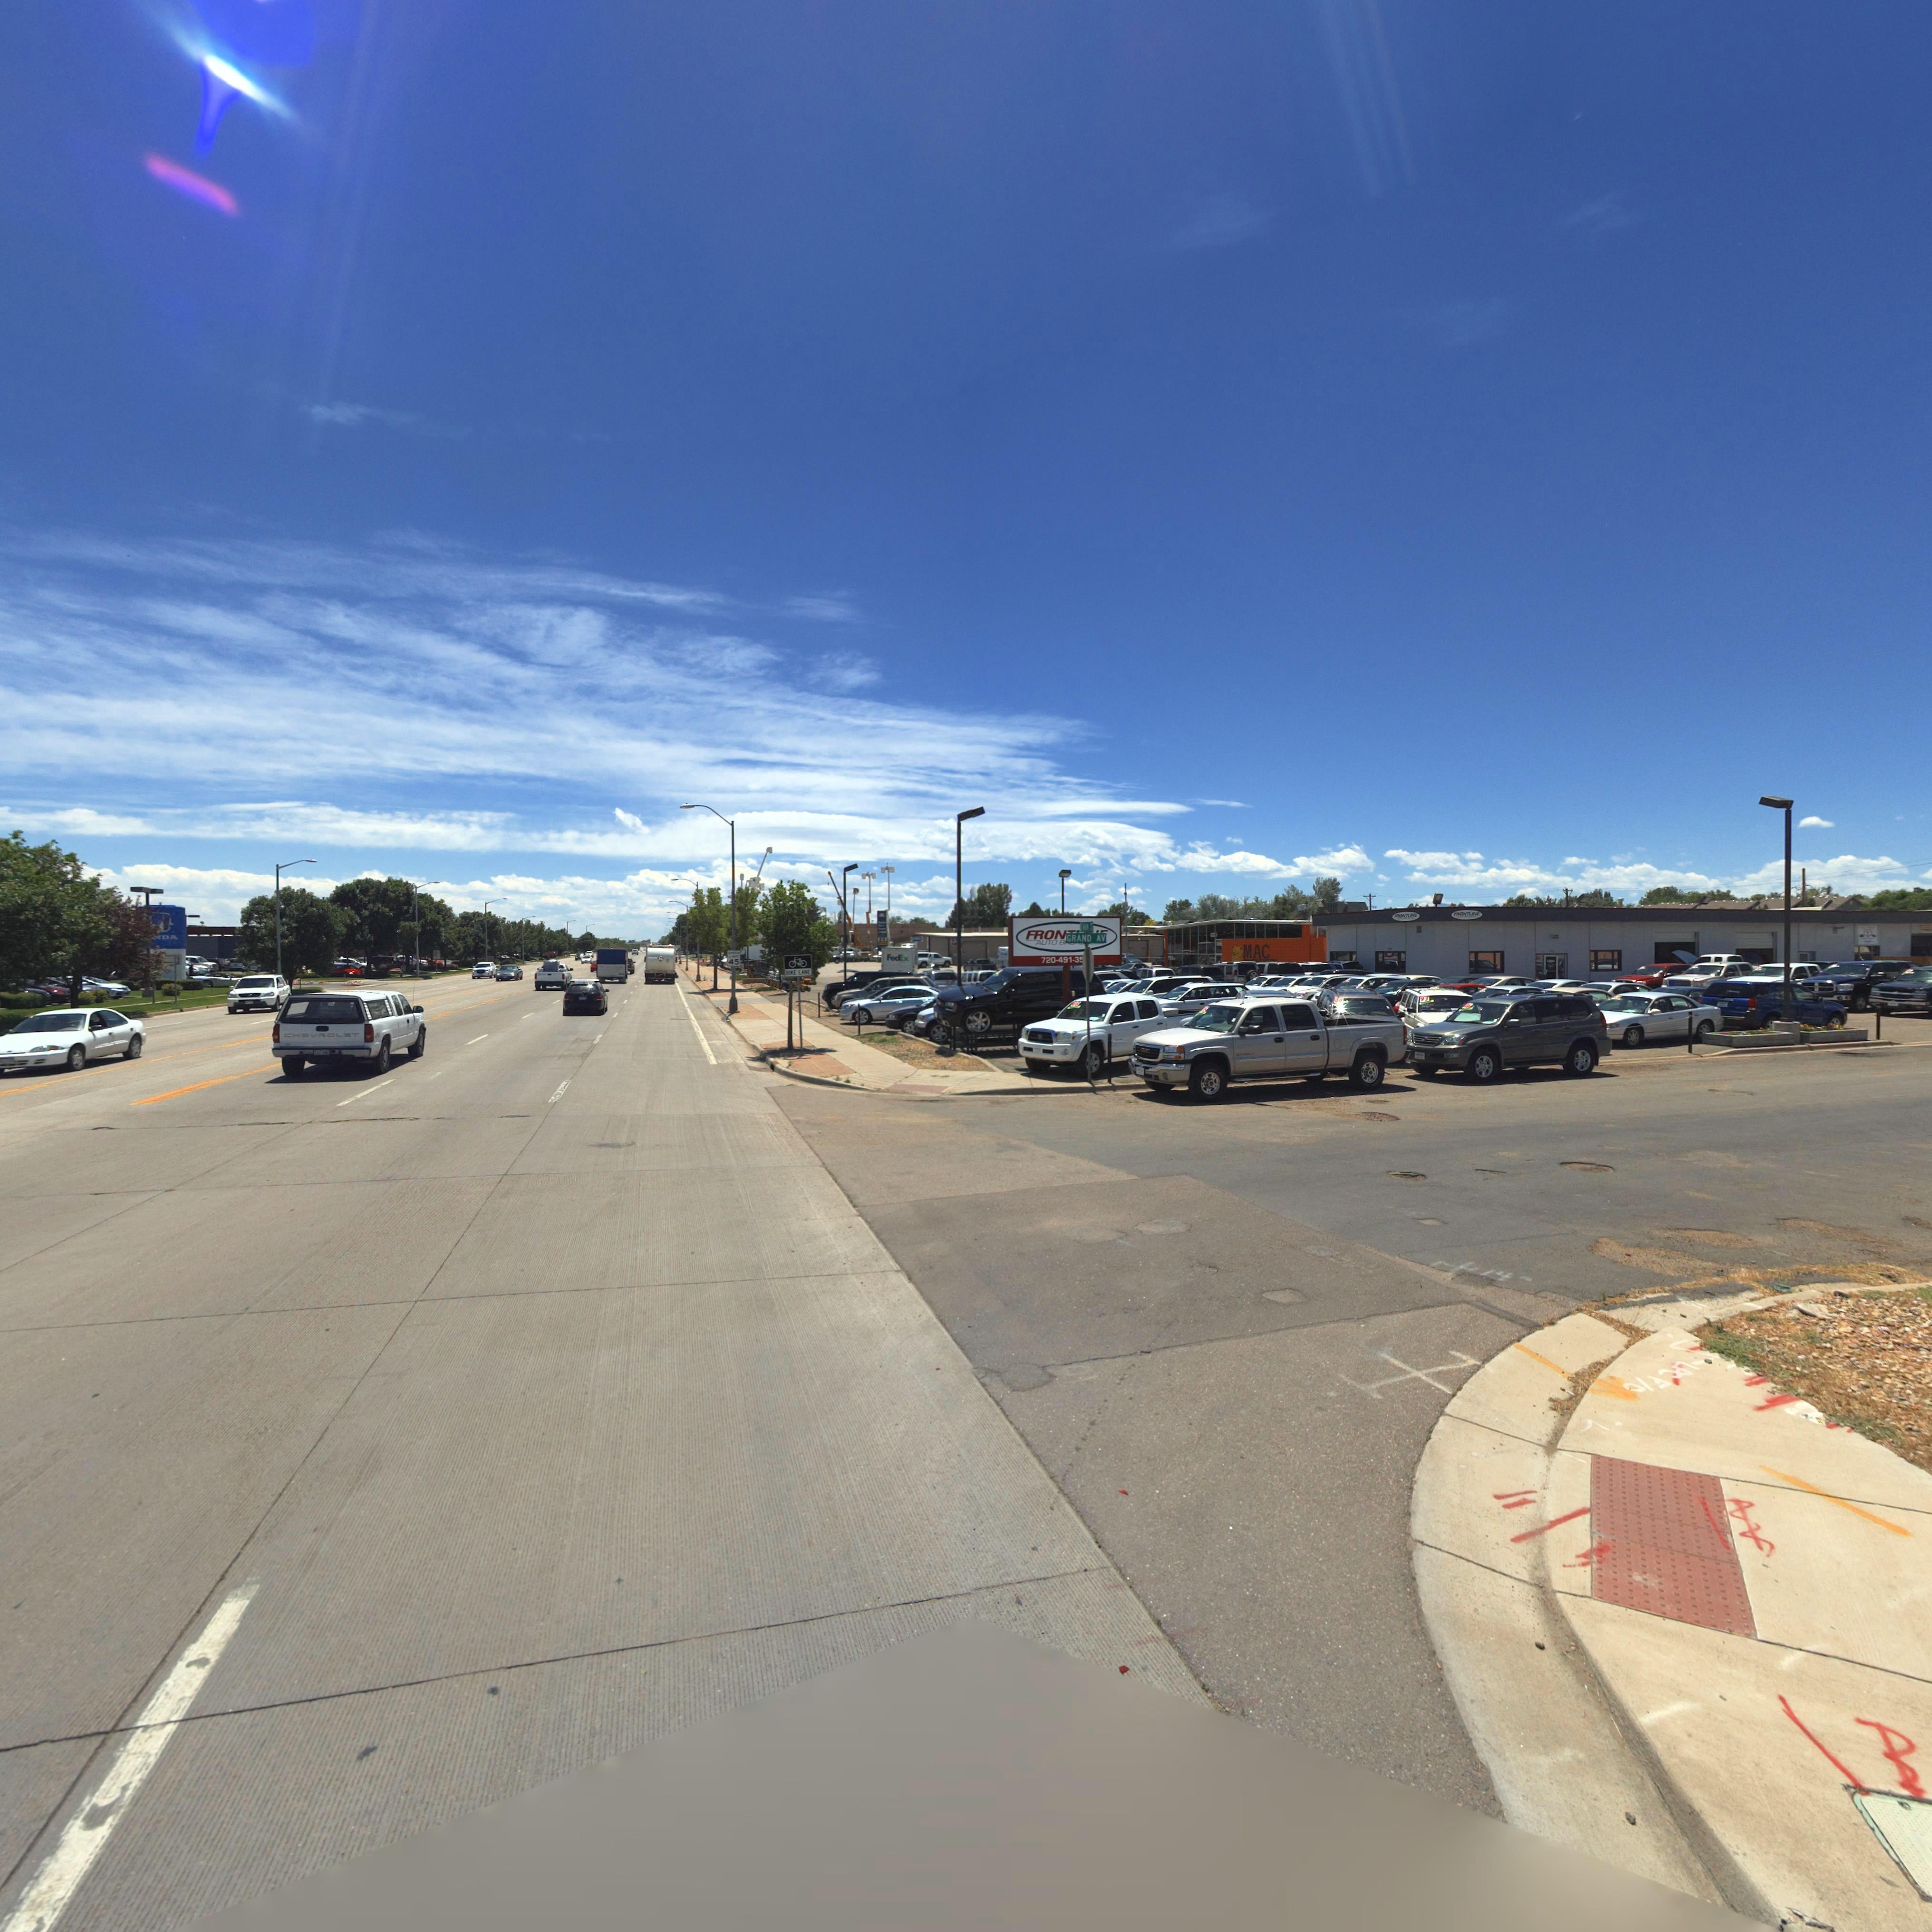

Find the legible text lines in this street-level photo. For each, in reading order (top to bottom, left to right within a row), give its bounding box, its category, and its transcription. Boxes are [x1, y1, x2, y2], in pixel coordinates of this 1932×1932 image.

[1393, 913, 1418, 918] BusinessName: FRONTL**E
[1453, 911, 1480, 916] BusinessName: FRONTLINE
[153, 934, 179, 940] BusinessName: *DA
[1025, 929, 1109, 939] BusinessName: FRON*****
[1066, 933, 1106, 942] StreetName: GRAND AV
[1034, 939, 1066, 945] BusinessName: AUTO B
[1243, 943, 1270, 959] BusinessName: MAC